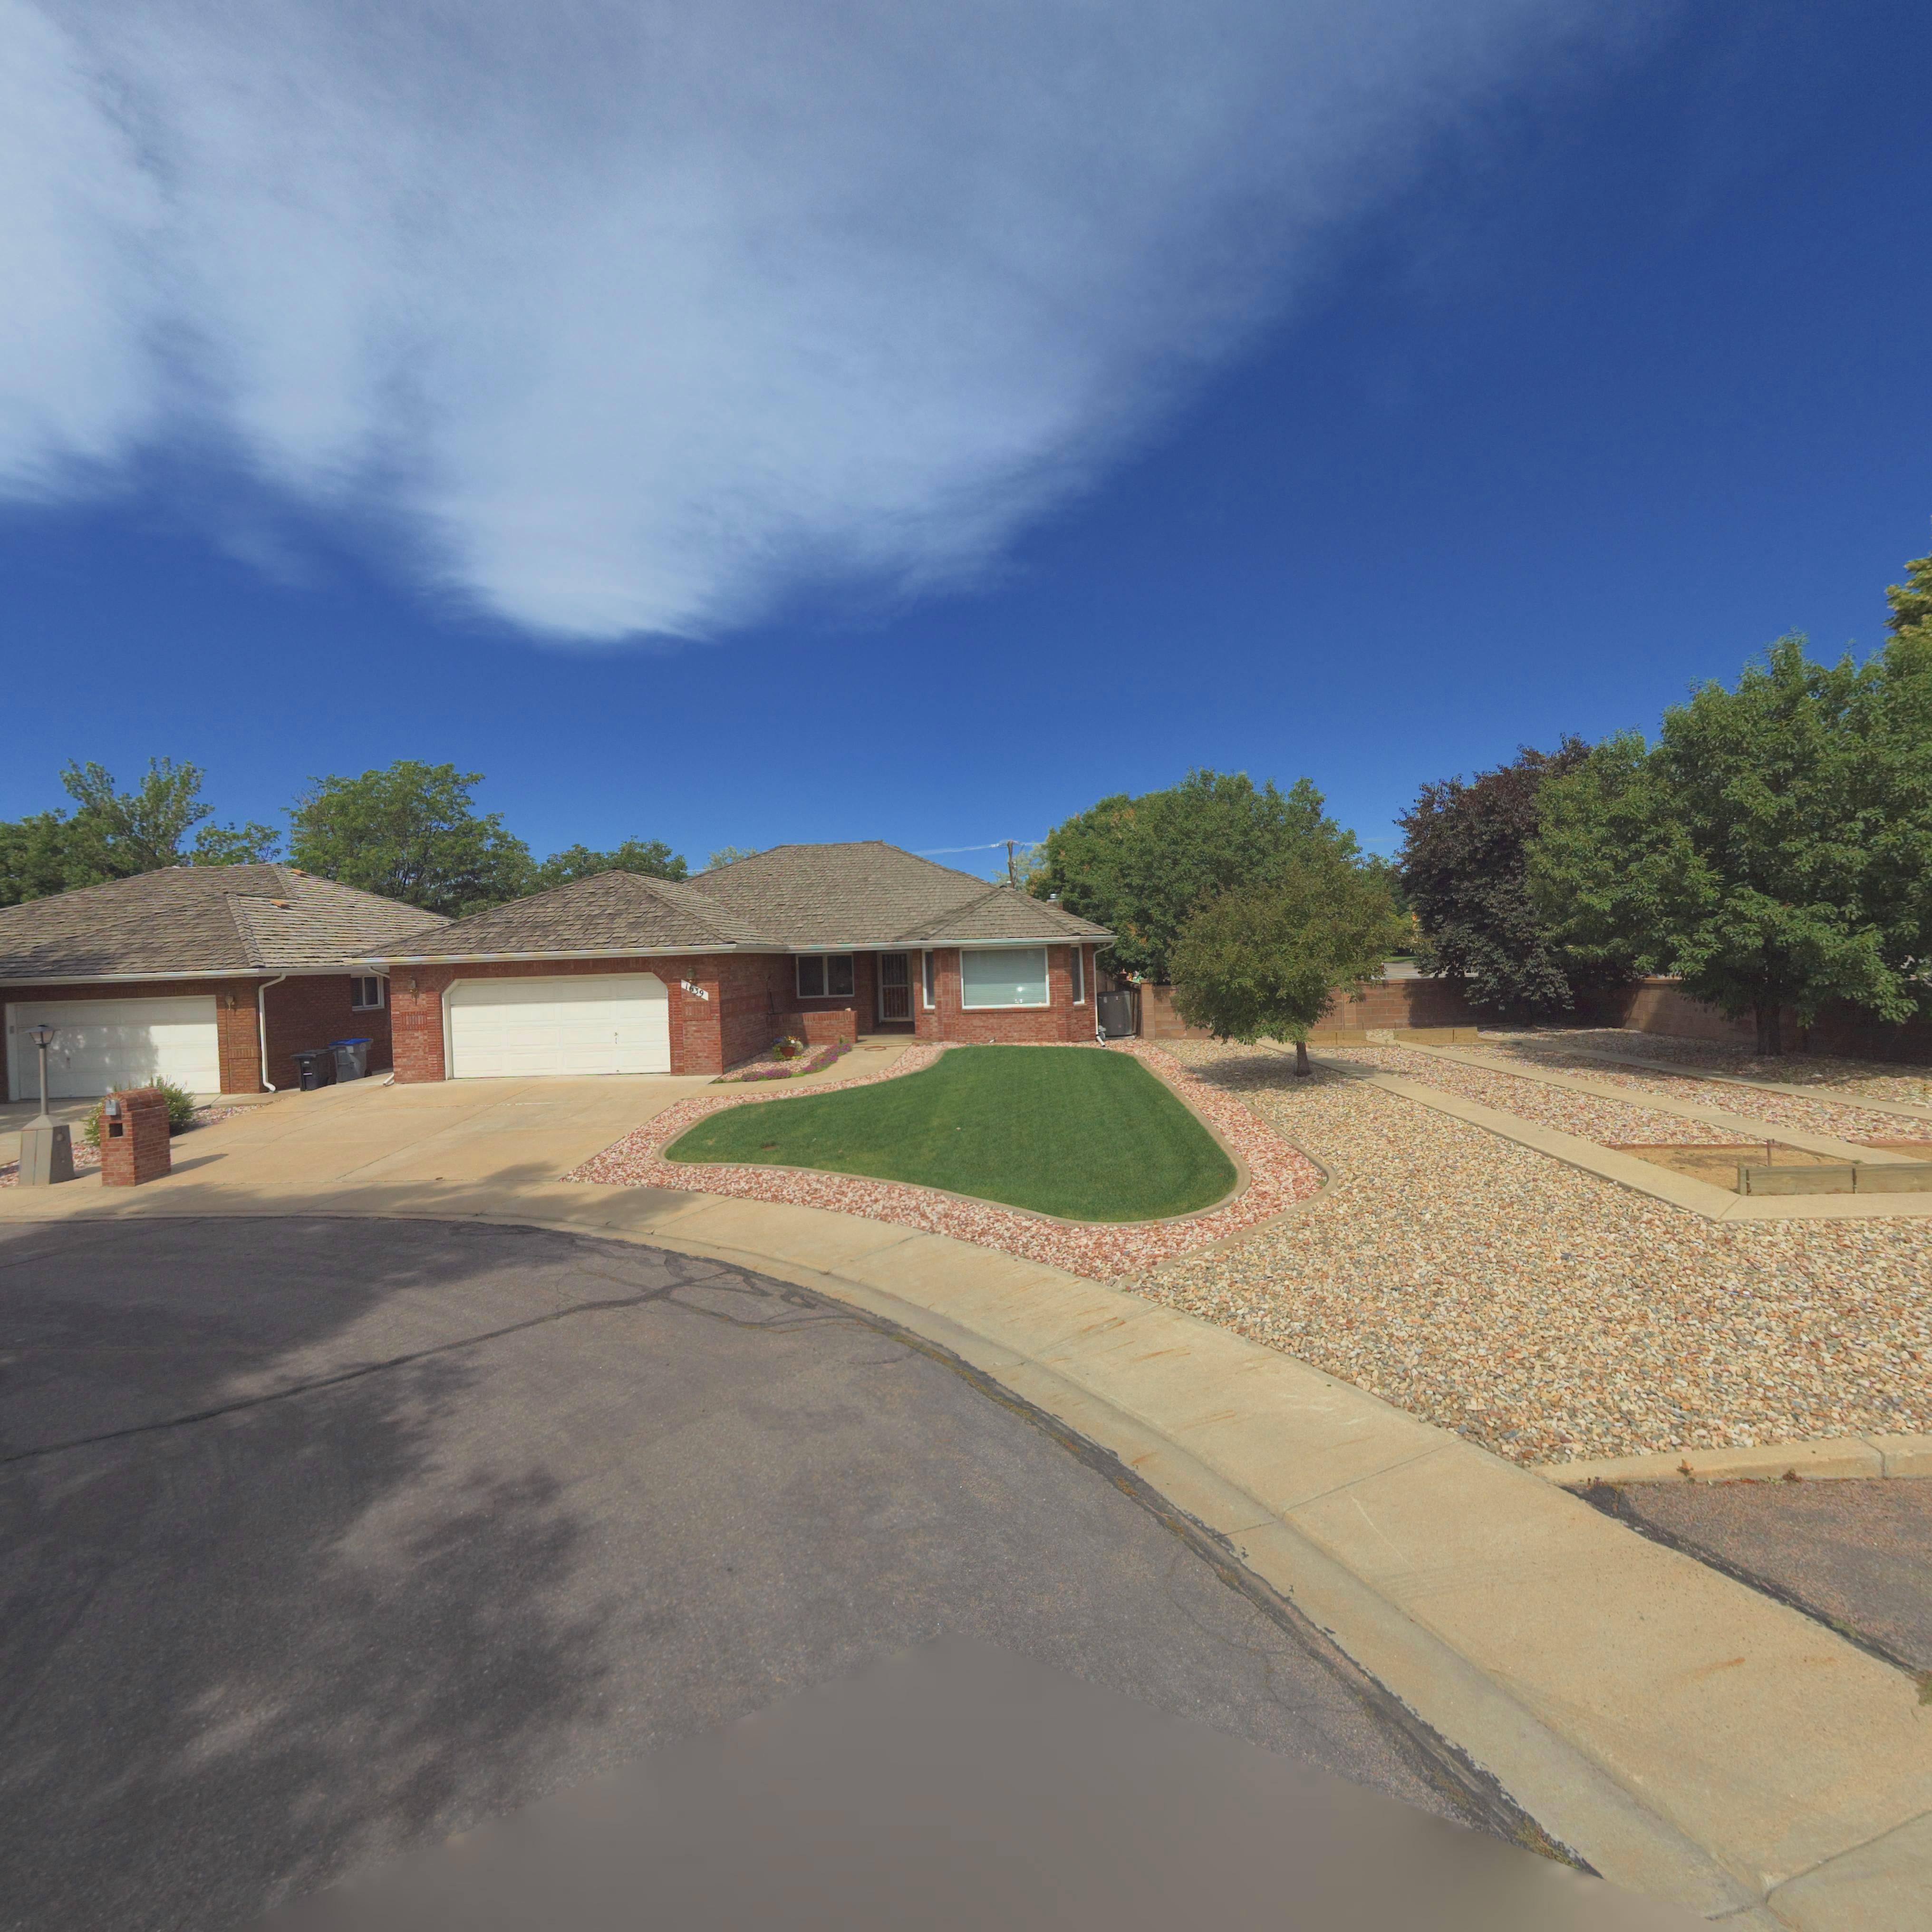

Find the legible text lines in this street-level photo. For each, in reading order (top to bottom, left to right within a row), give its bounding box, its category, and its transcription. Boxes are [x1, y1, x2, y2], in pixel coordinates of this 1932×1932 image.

[685, 982, 704, 997] StreetNumber: 1639